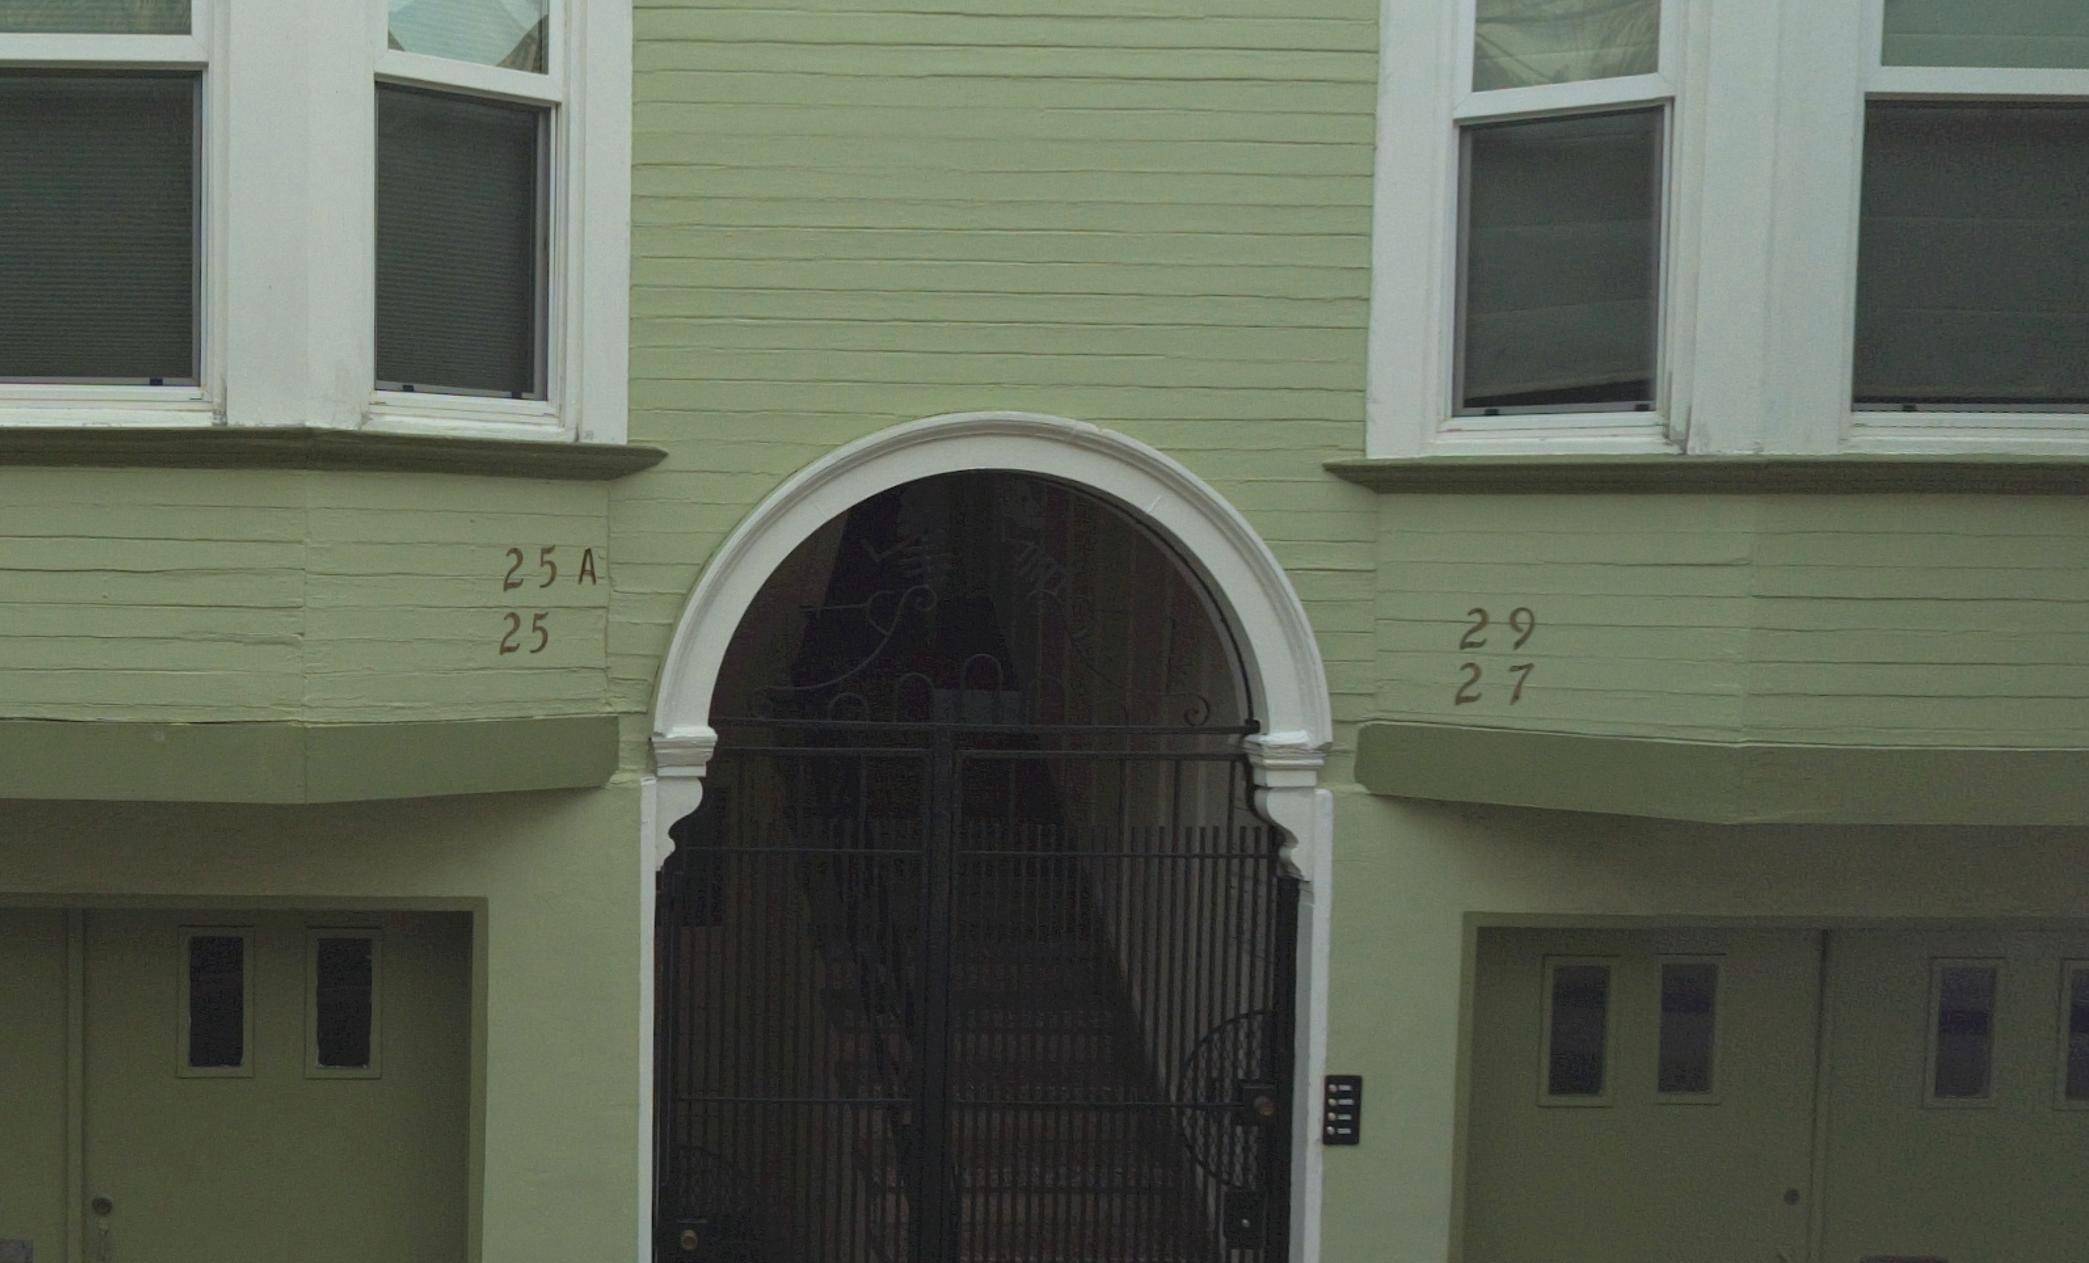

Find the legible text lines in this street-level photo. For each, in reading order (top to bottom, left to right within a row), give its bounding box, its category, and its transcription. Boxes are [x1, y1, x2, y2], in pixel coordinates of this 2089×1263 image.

[500, 542, 602, 595] StreetNumber: 25A
[497, 610, 551, 658] StreetNumber: 25
[1457, 604, 1540, 653] StreetNumber: 29
[1452, 659, 1540, 710] StreetNumber: 27